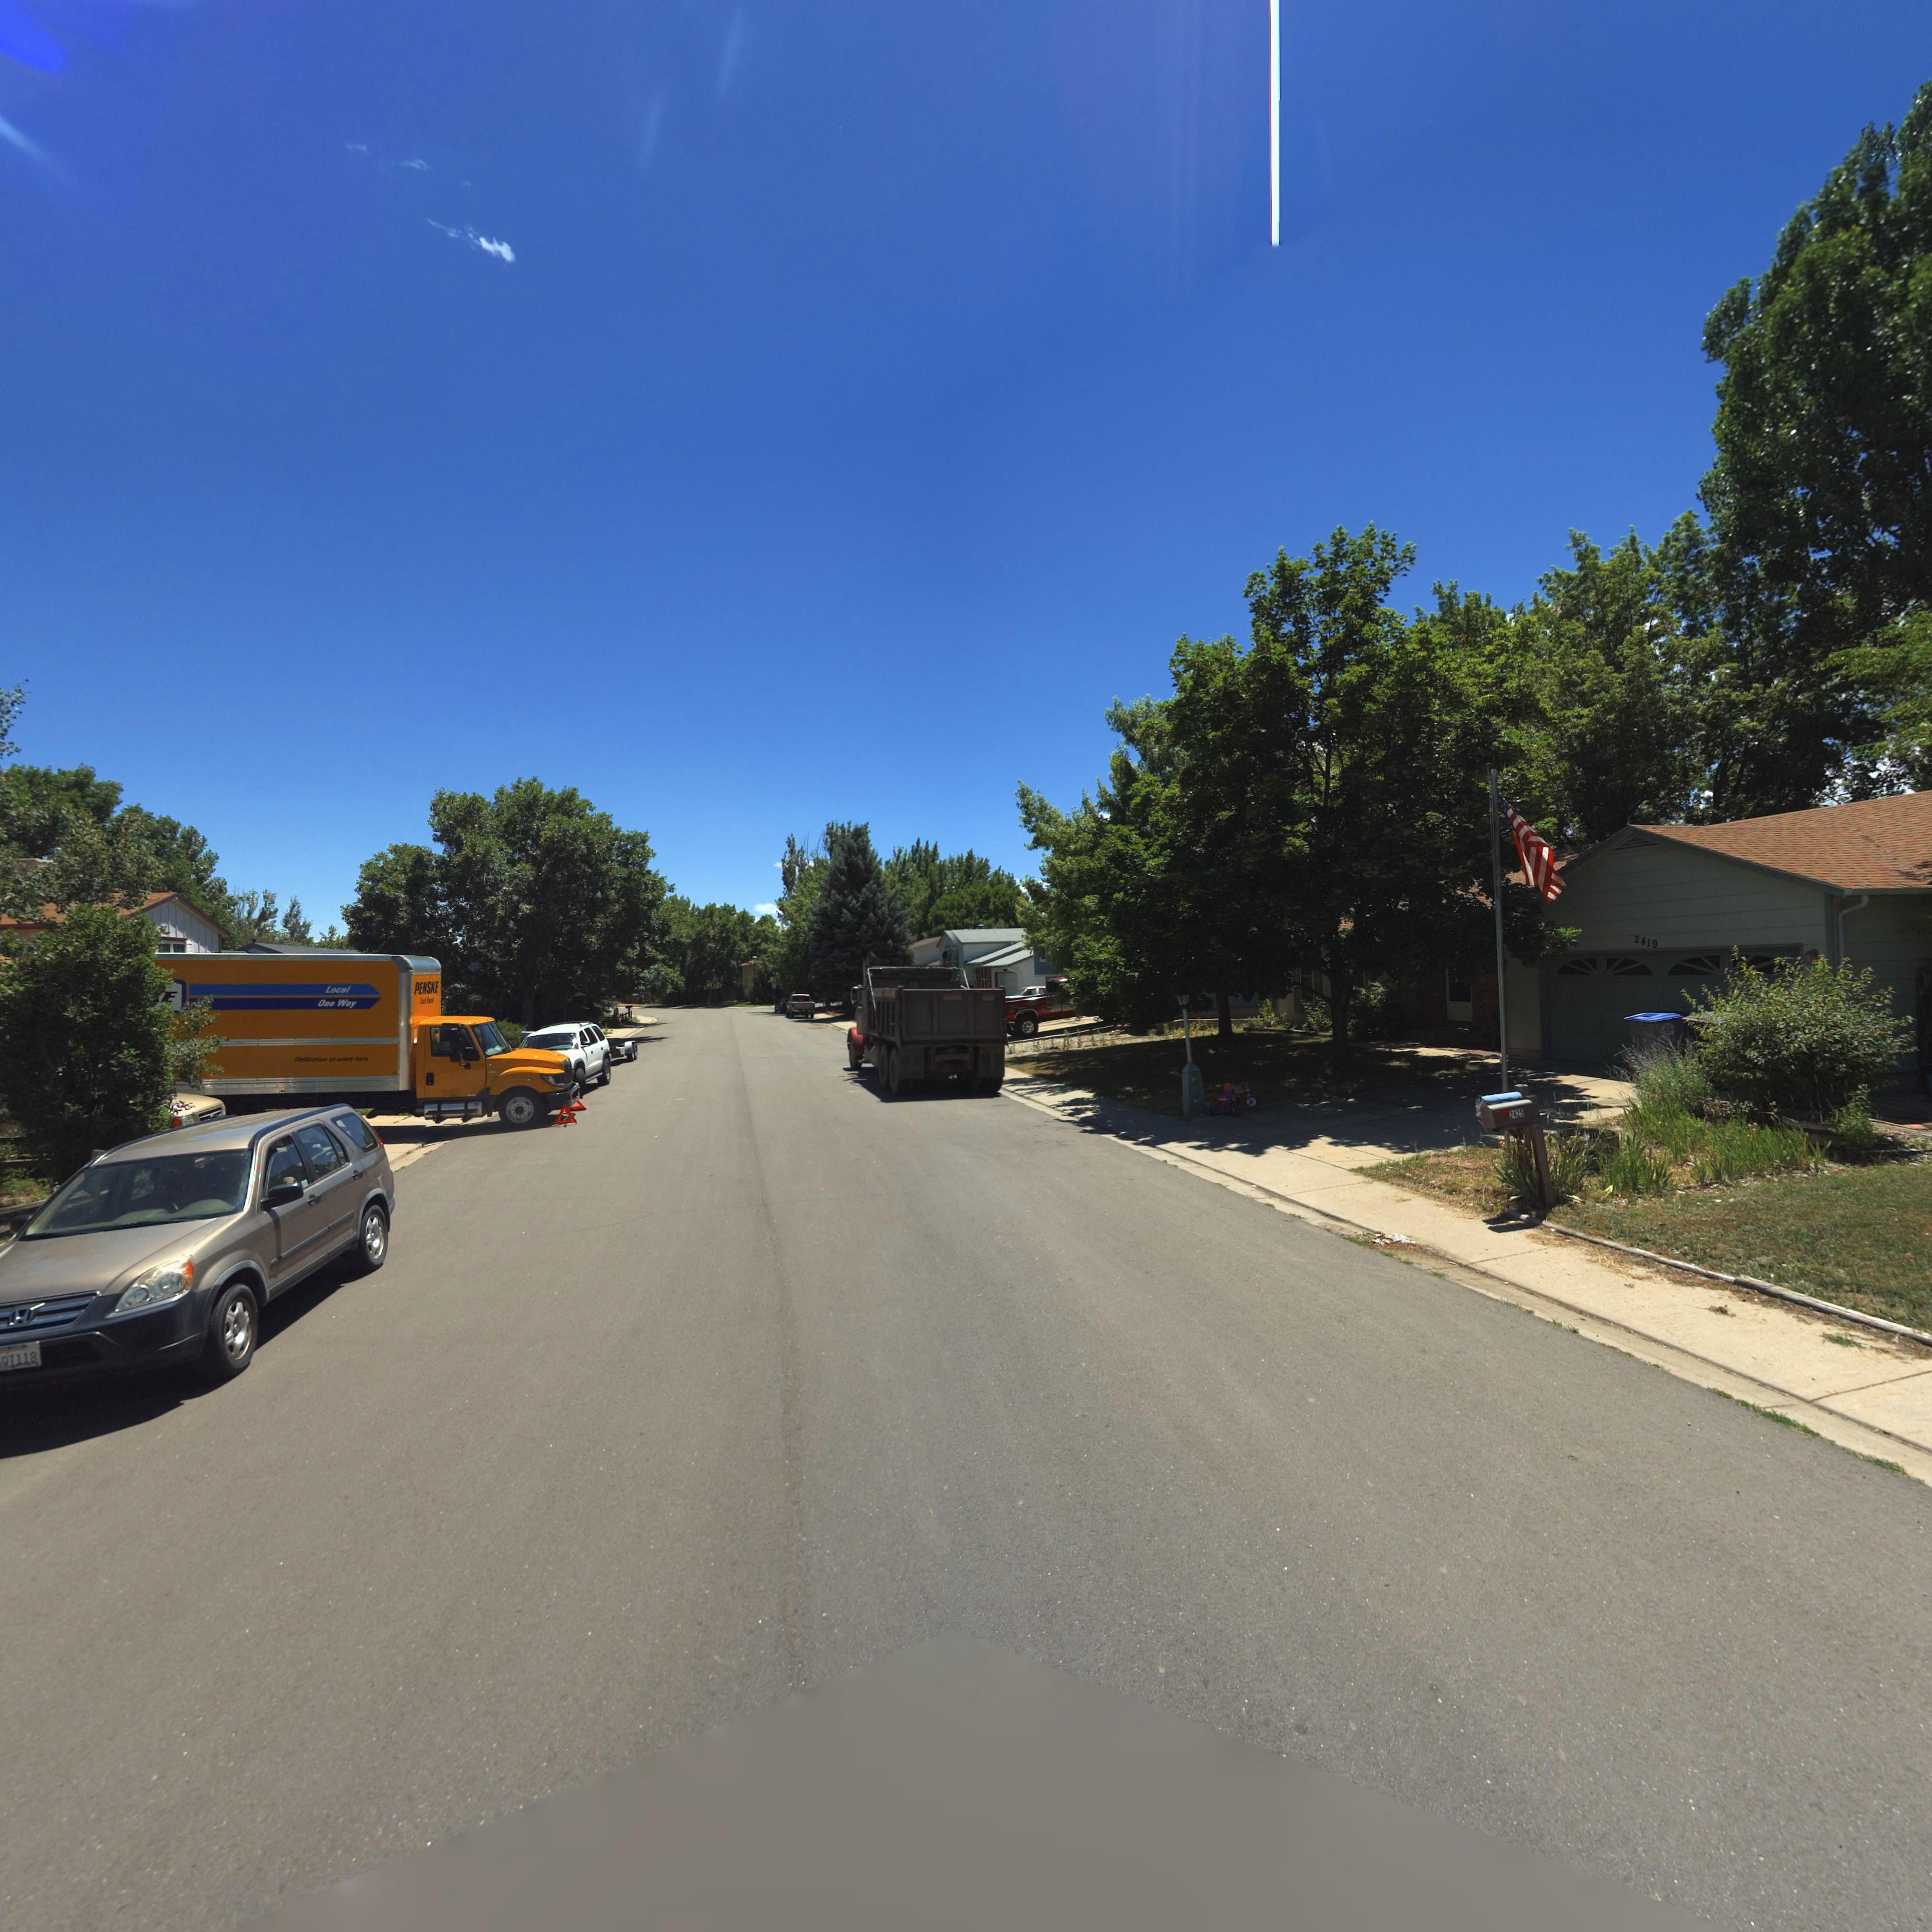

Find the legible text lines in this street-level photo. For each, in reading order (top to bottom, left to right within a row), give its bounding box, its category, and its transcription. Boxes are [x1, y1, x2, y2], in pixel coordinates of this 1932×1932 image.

[1633, 935, 1658, 949] StreetNumber: 2419
[1509, 1108, 1525, 1119] StreetNumber: 2425